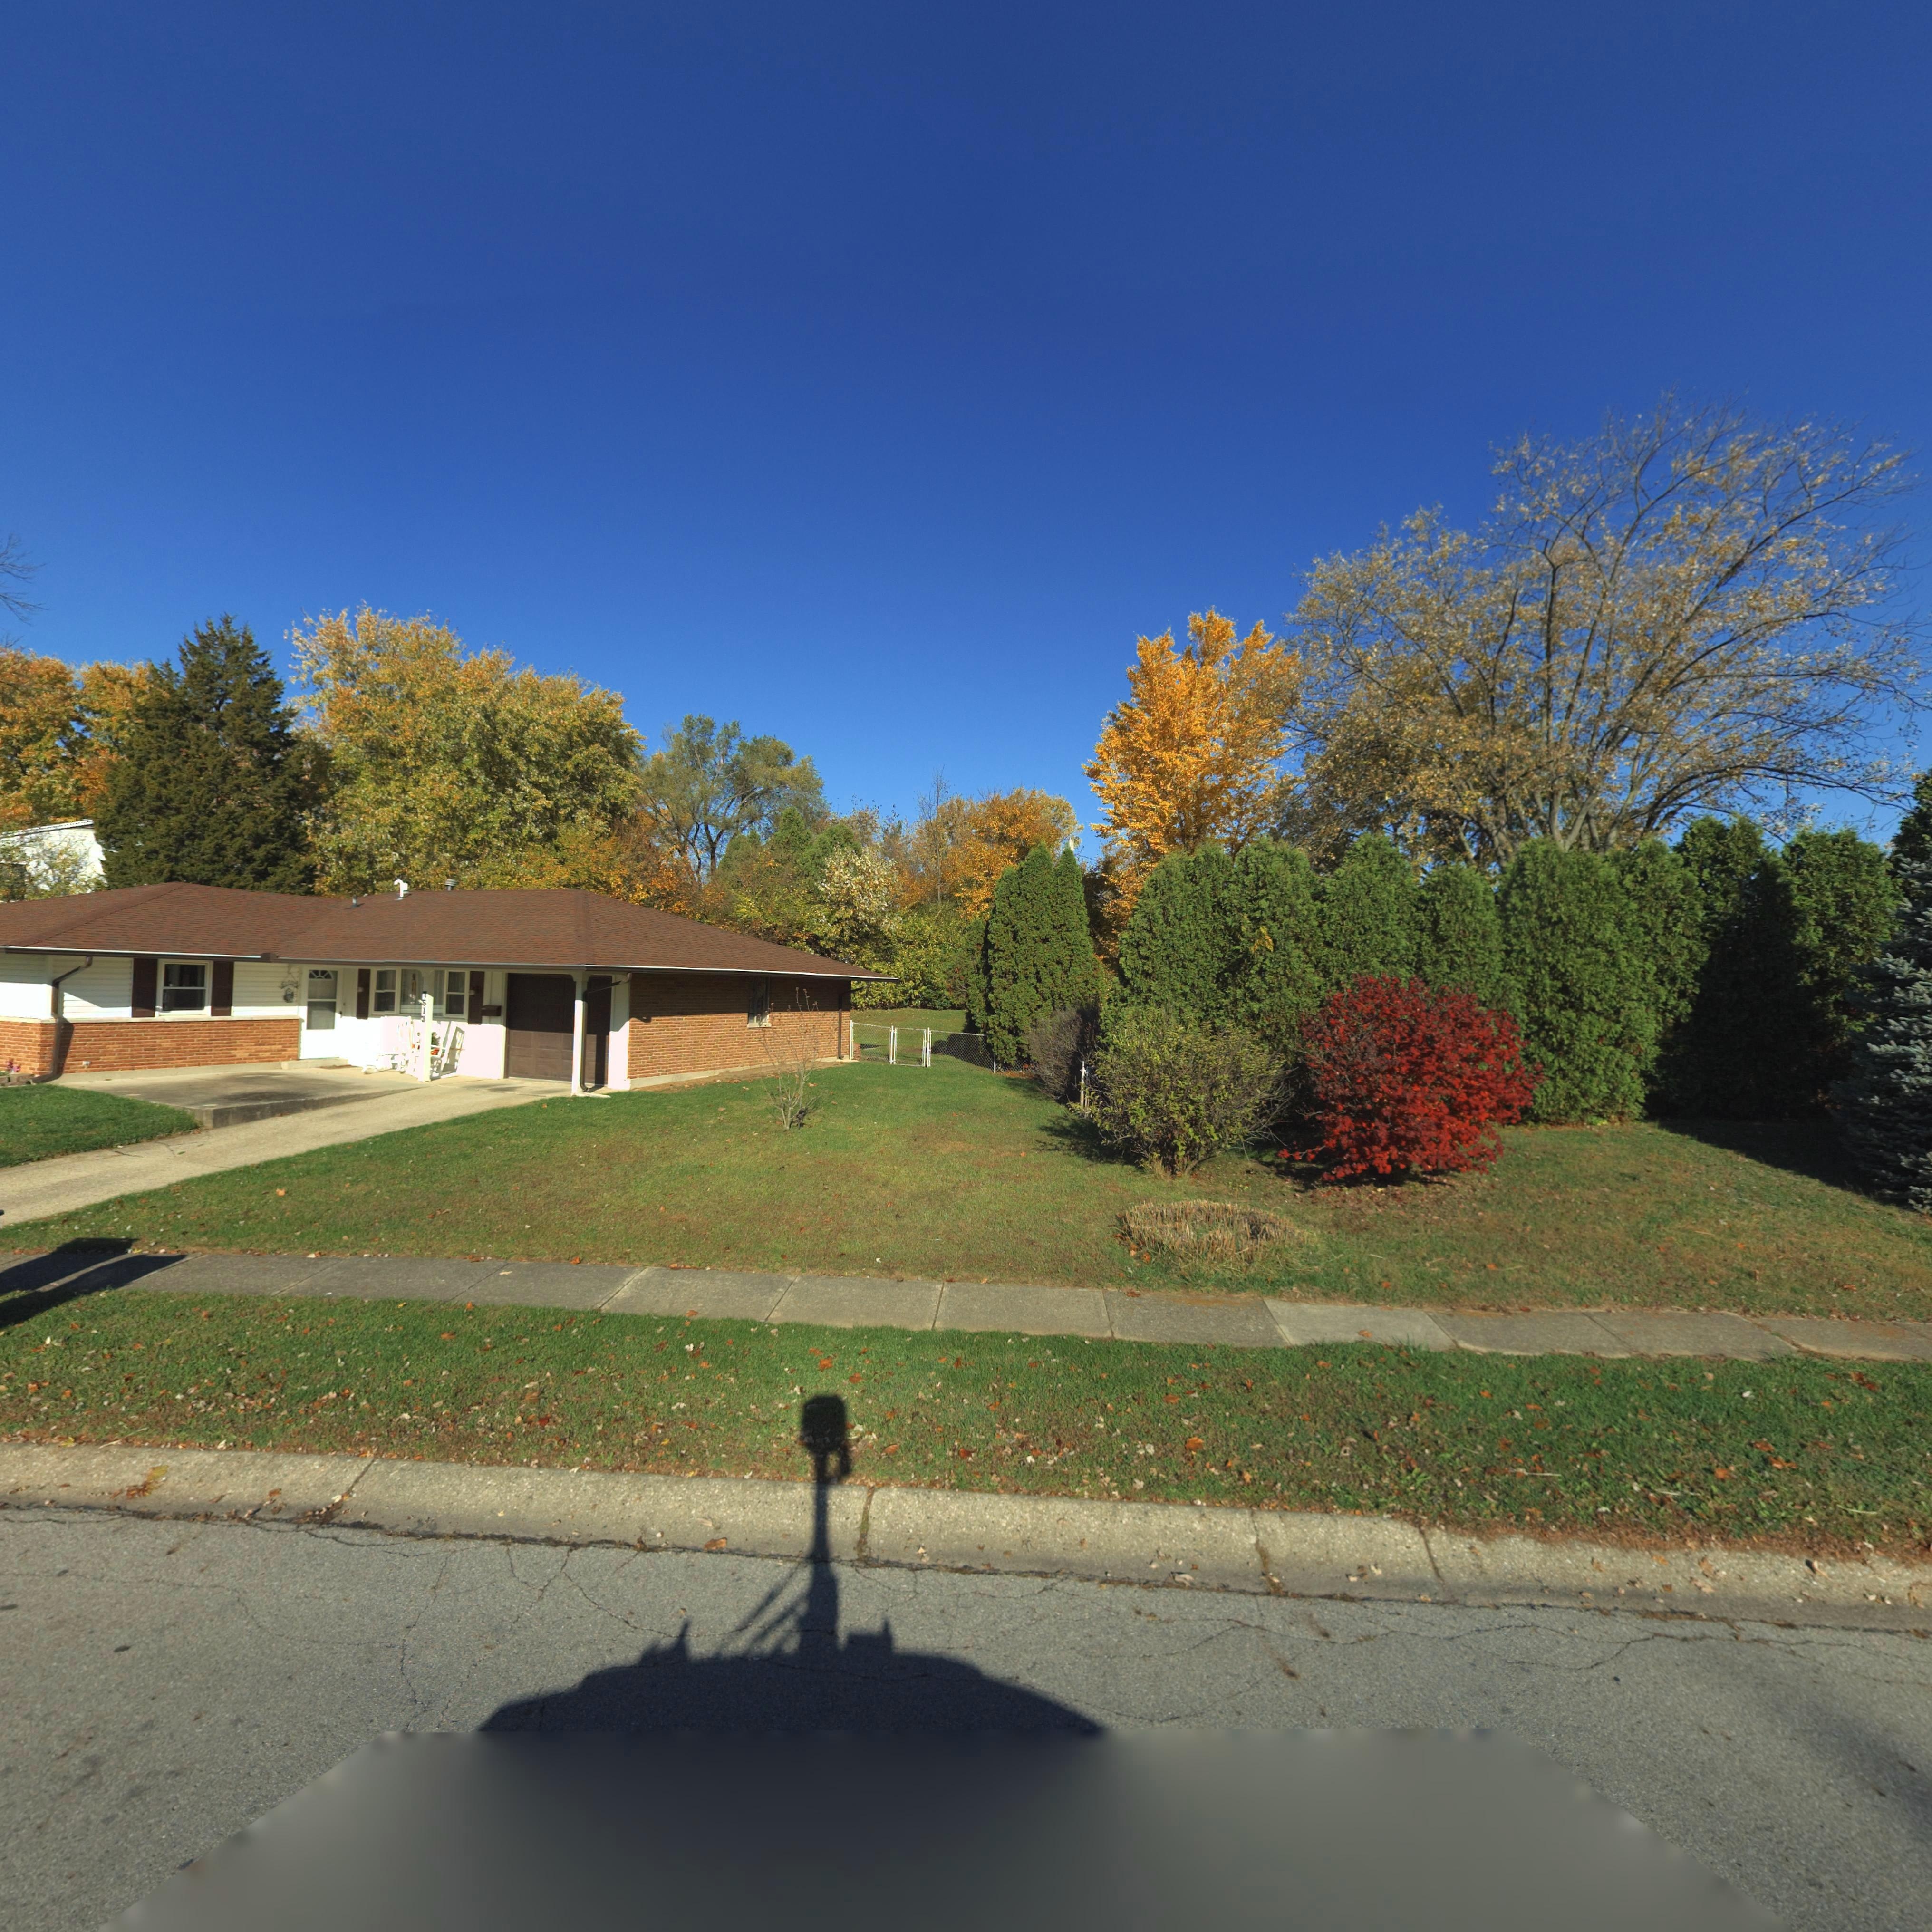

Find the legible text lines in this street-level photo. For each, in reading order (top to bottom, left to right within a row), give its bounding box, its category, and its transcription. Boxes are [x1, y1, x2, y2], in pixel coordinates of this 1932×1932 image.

[421, 990, 428, 1024] StreetNumber: 7513